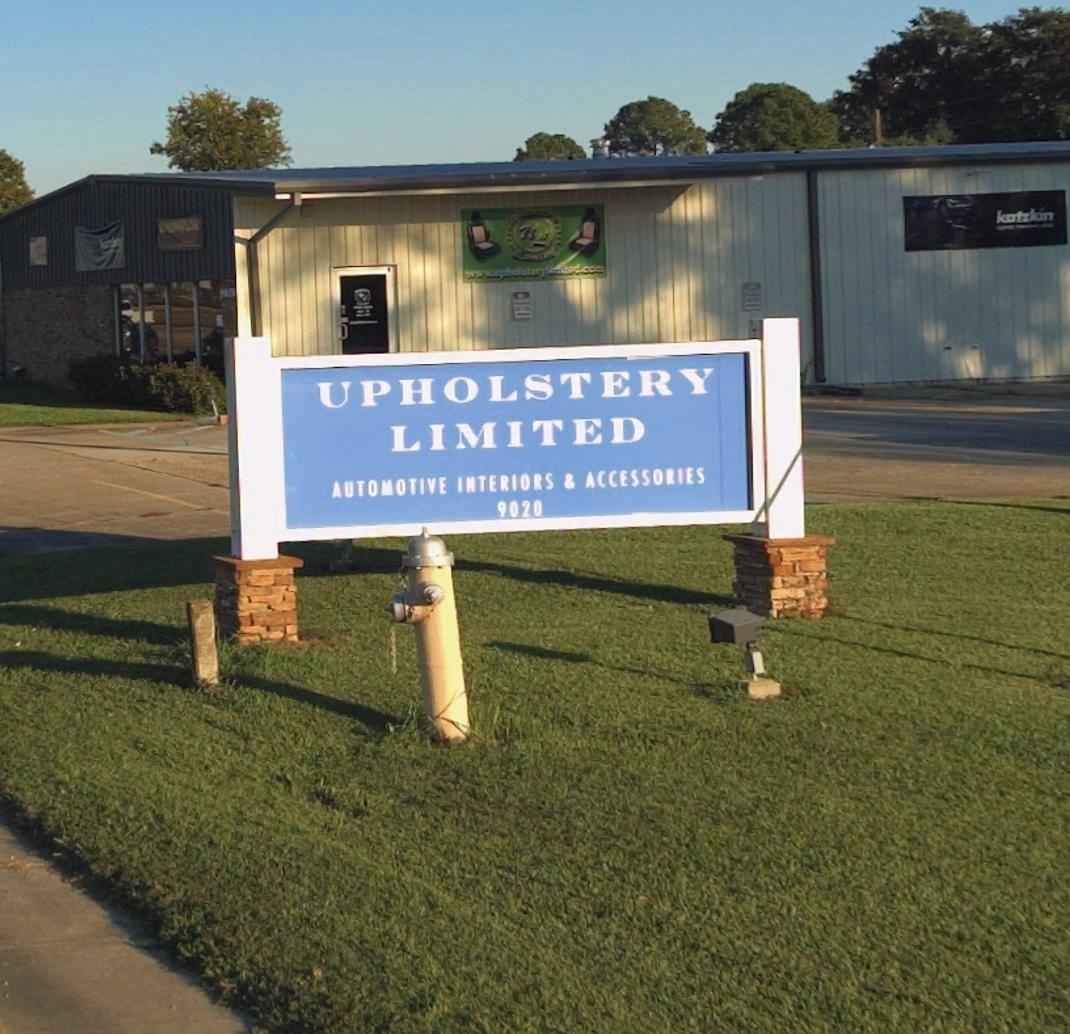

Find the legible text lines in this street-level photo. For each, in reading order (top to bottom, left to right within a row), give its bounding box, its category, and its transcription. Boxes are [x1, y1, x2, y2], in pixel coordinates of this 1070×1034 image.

[995, 206, 1055, 224] None: katzkin
[315, 367, 716, 410] BusinessName: UPHOOLSTERY
[390, 417, 645, 453] BusinessName: LIMITED
[329, 466, 707, 499] None: AUTOMOTIVE INTERIORS & ACCESSORIES
[496, 499, 544, 518] StreetNumber: 9020